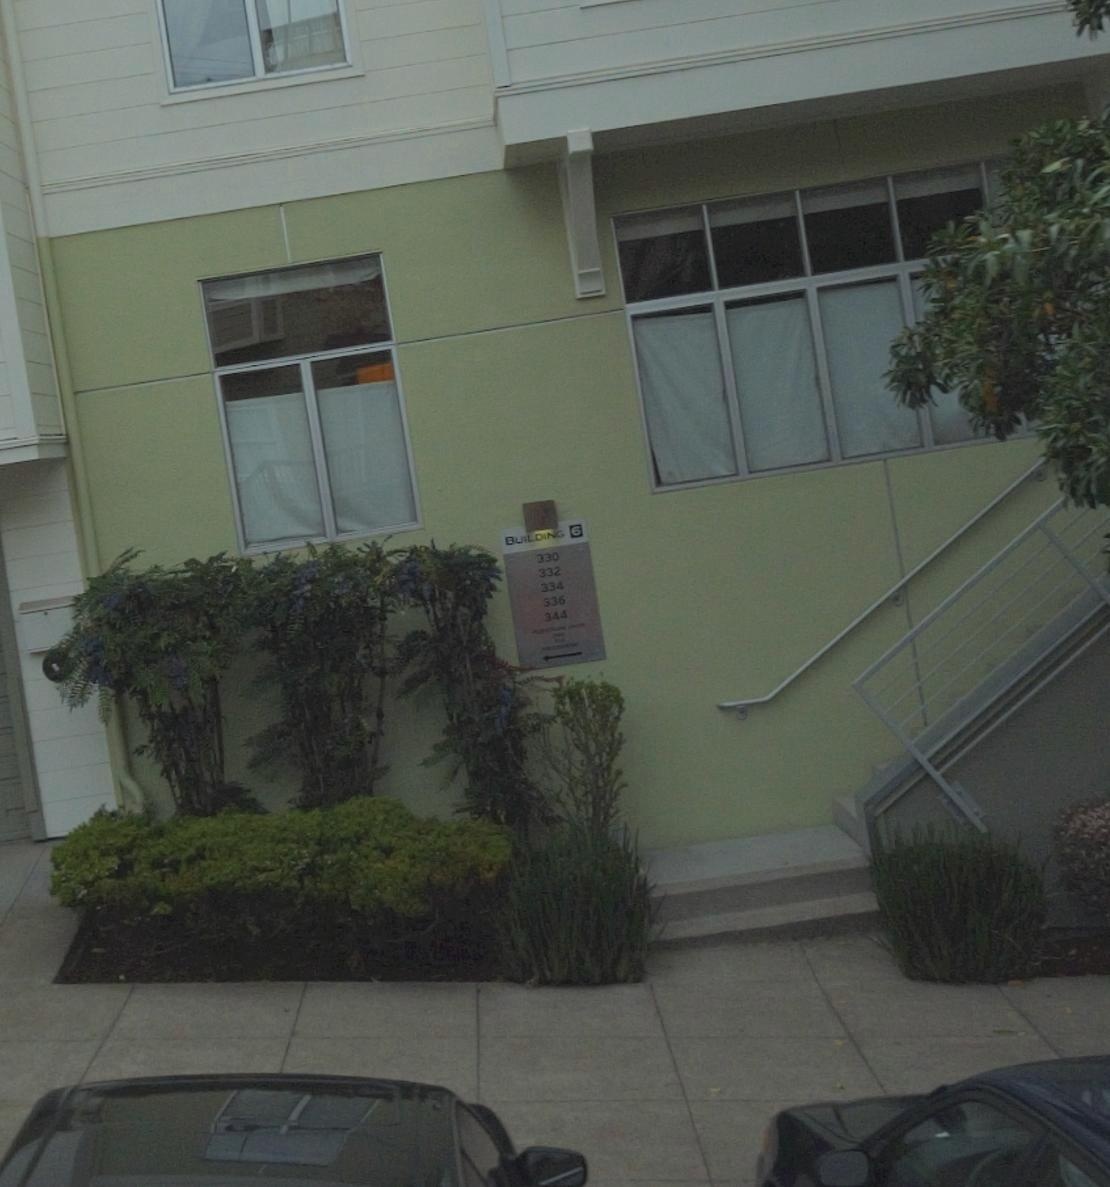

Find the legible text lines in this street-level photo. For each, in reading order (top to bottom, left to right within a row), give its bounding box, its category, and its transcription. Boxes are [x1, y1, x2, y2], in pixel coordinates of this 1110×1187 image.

[505, 528, 566, 547] None: BUILDING
[570, 525, 582, 538] None: 6
[535, 551, 560, 563] StreetNumber: 330
[538, 565, 563, 578] StreetNumber: 332
[541, 581, 565, 593] StreetNumber: 334
[542, 594, 567, 607] StreetNumber: 336
[544, 609, 568, 623] StreetNumber: 344